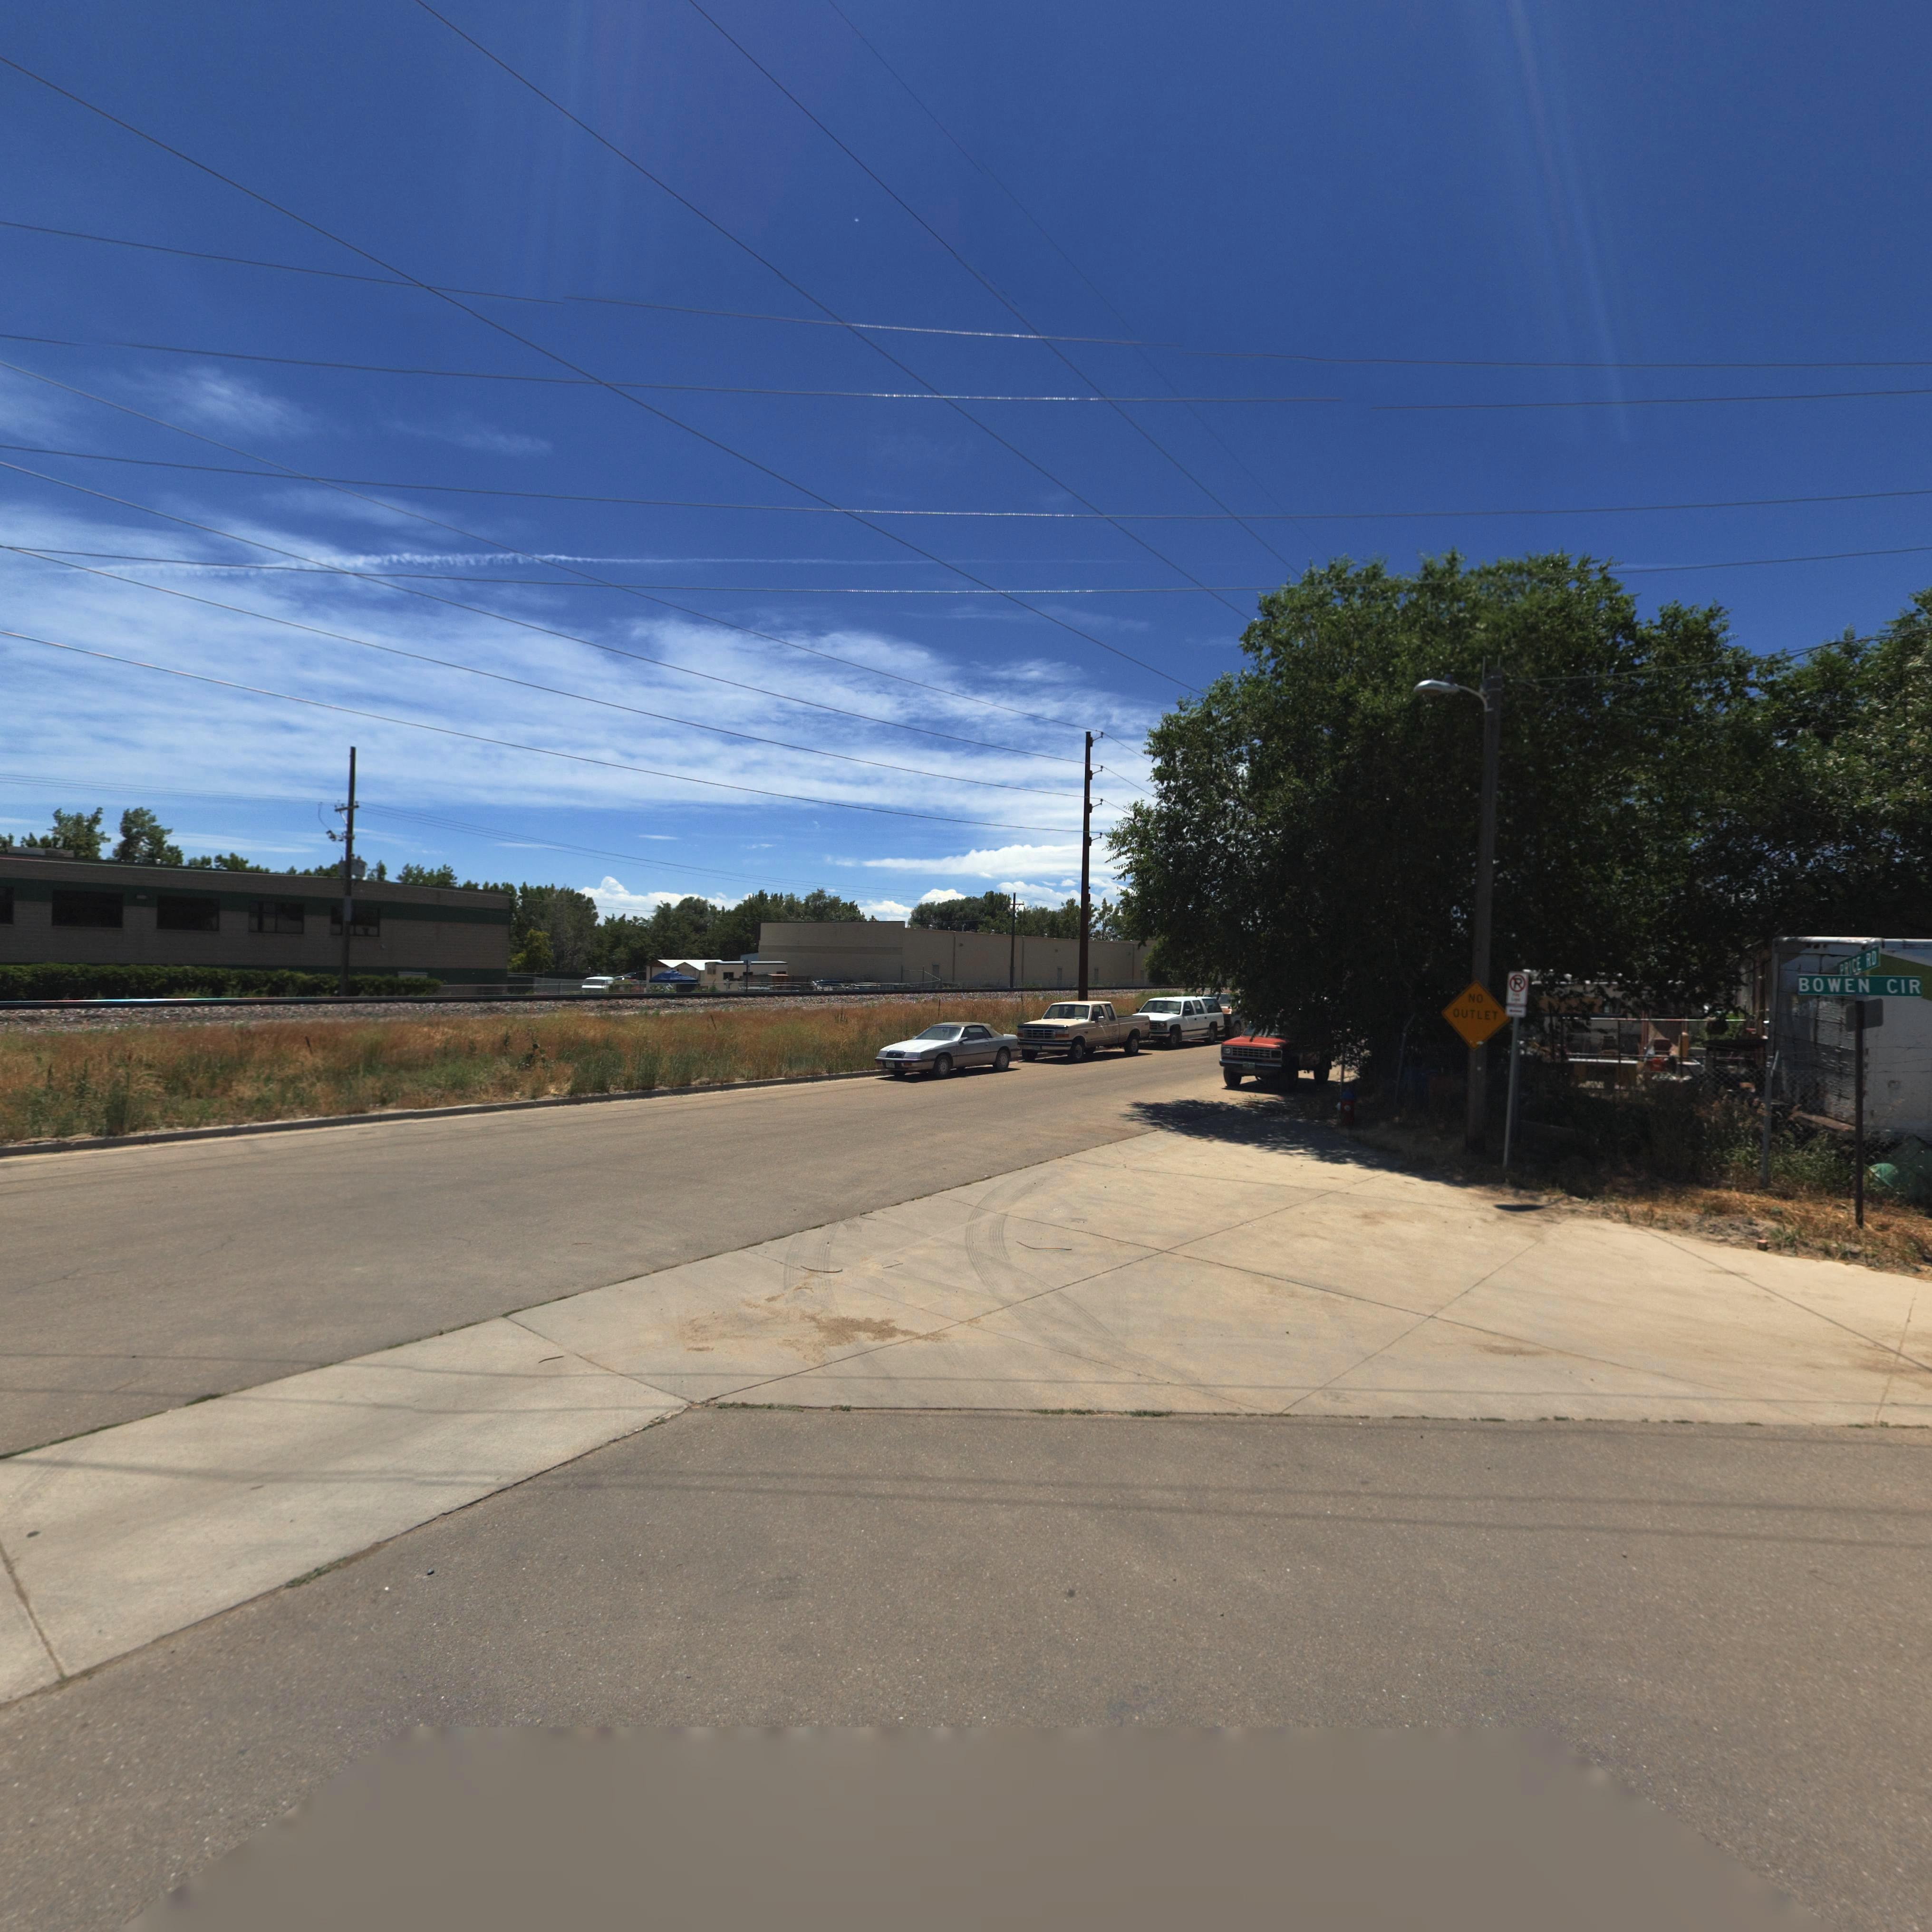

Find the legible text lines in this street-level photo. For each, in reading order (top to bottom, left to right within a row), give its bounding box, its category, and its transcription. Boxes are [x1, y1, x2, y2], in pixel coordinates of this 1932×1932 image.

[1839, 950, 1877, 976] StreetName: *RICE RD
[1798, 977, 1921, 994] StreetName: BOWEN CIR